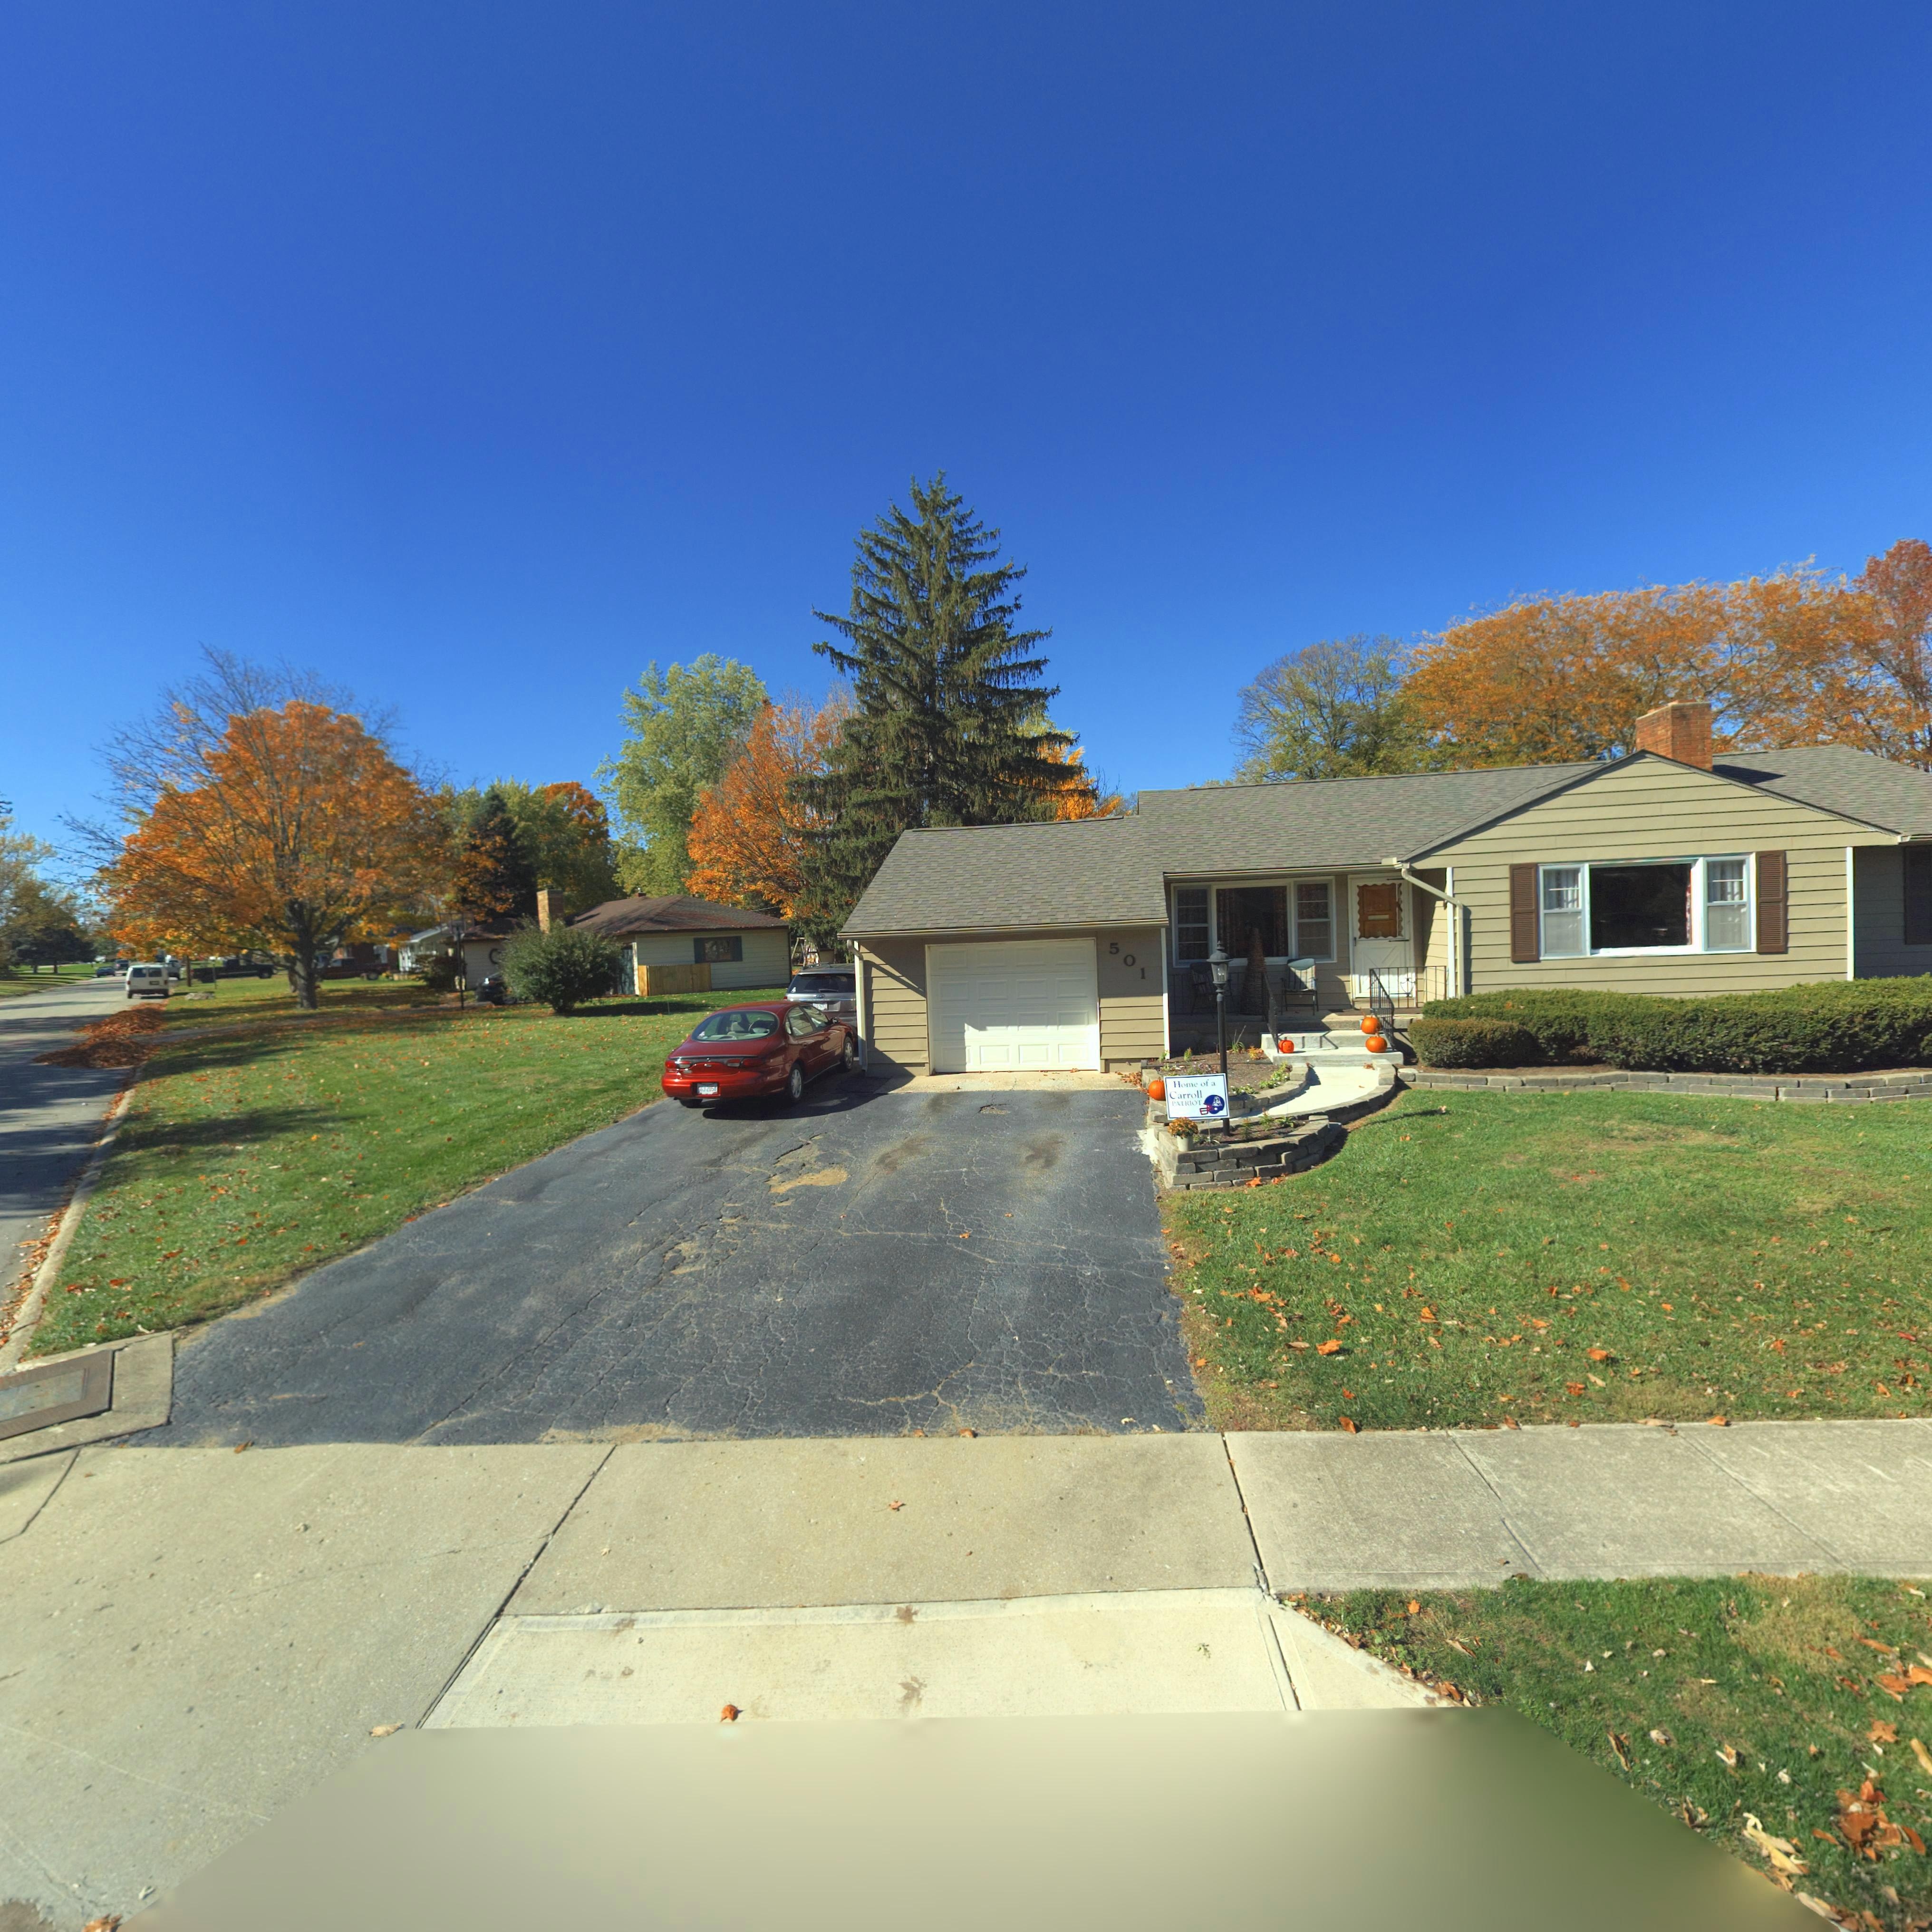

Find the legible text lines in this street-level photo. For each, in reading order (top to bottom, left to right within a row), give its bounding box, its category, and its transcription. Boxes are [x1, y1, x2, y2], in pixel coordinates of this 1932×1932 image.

[1109, 942, 1147, 980] StreetNumber: 501